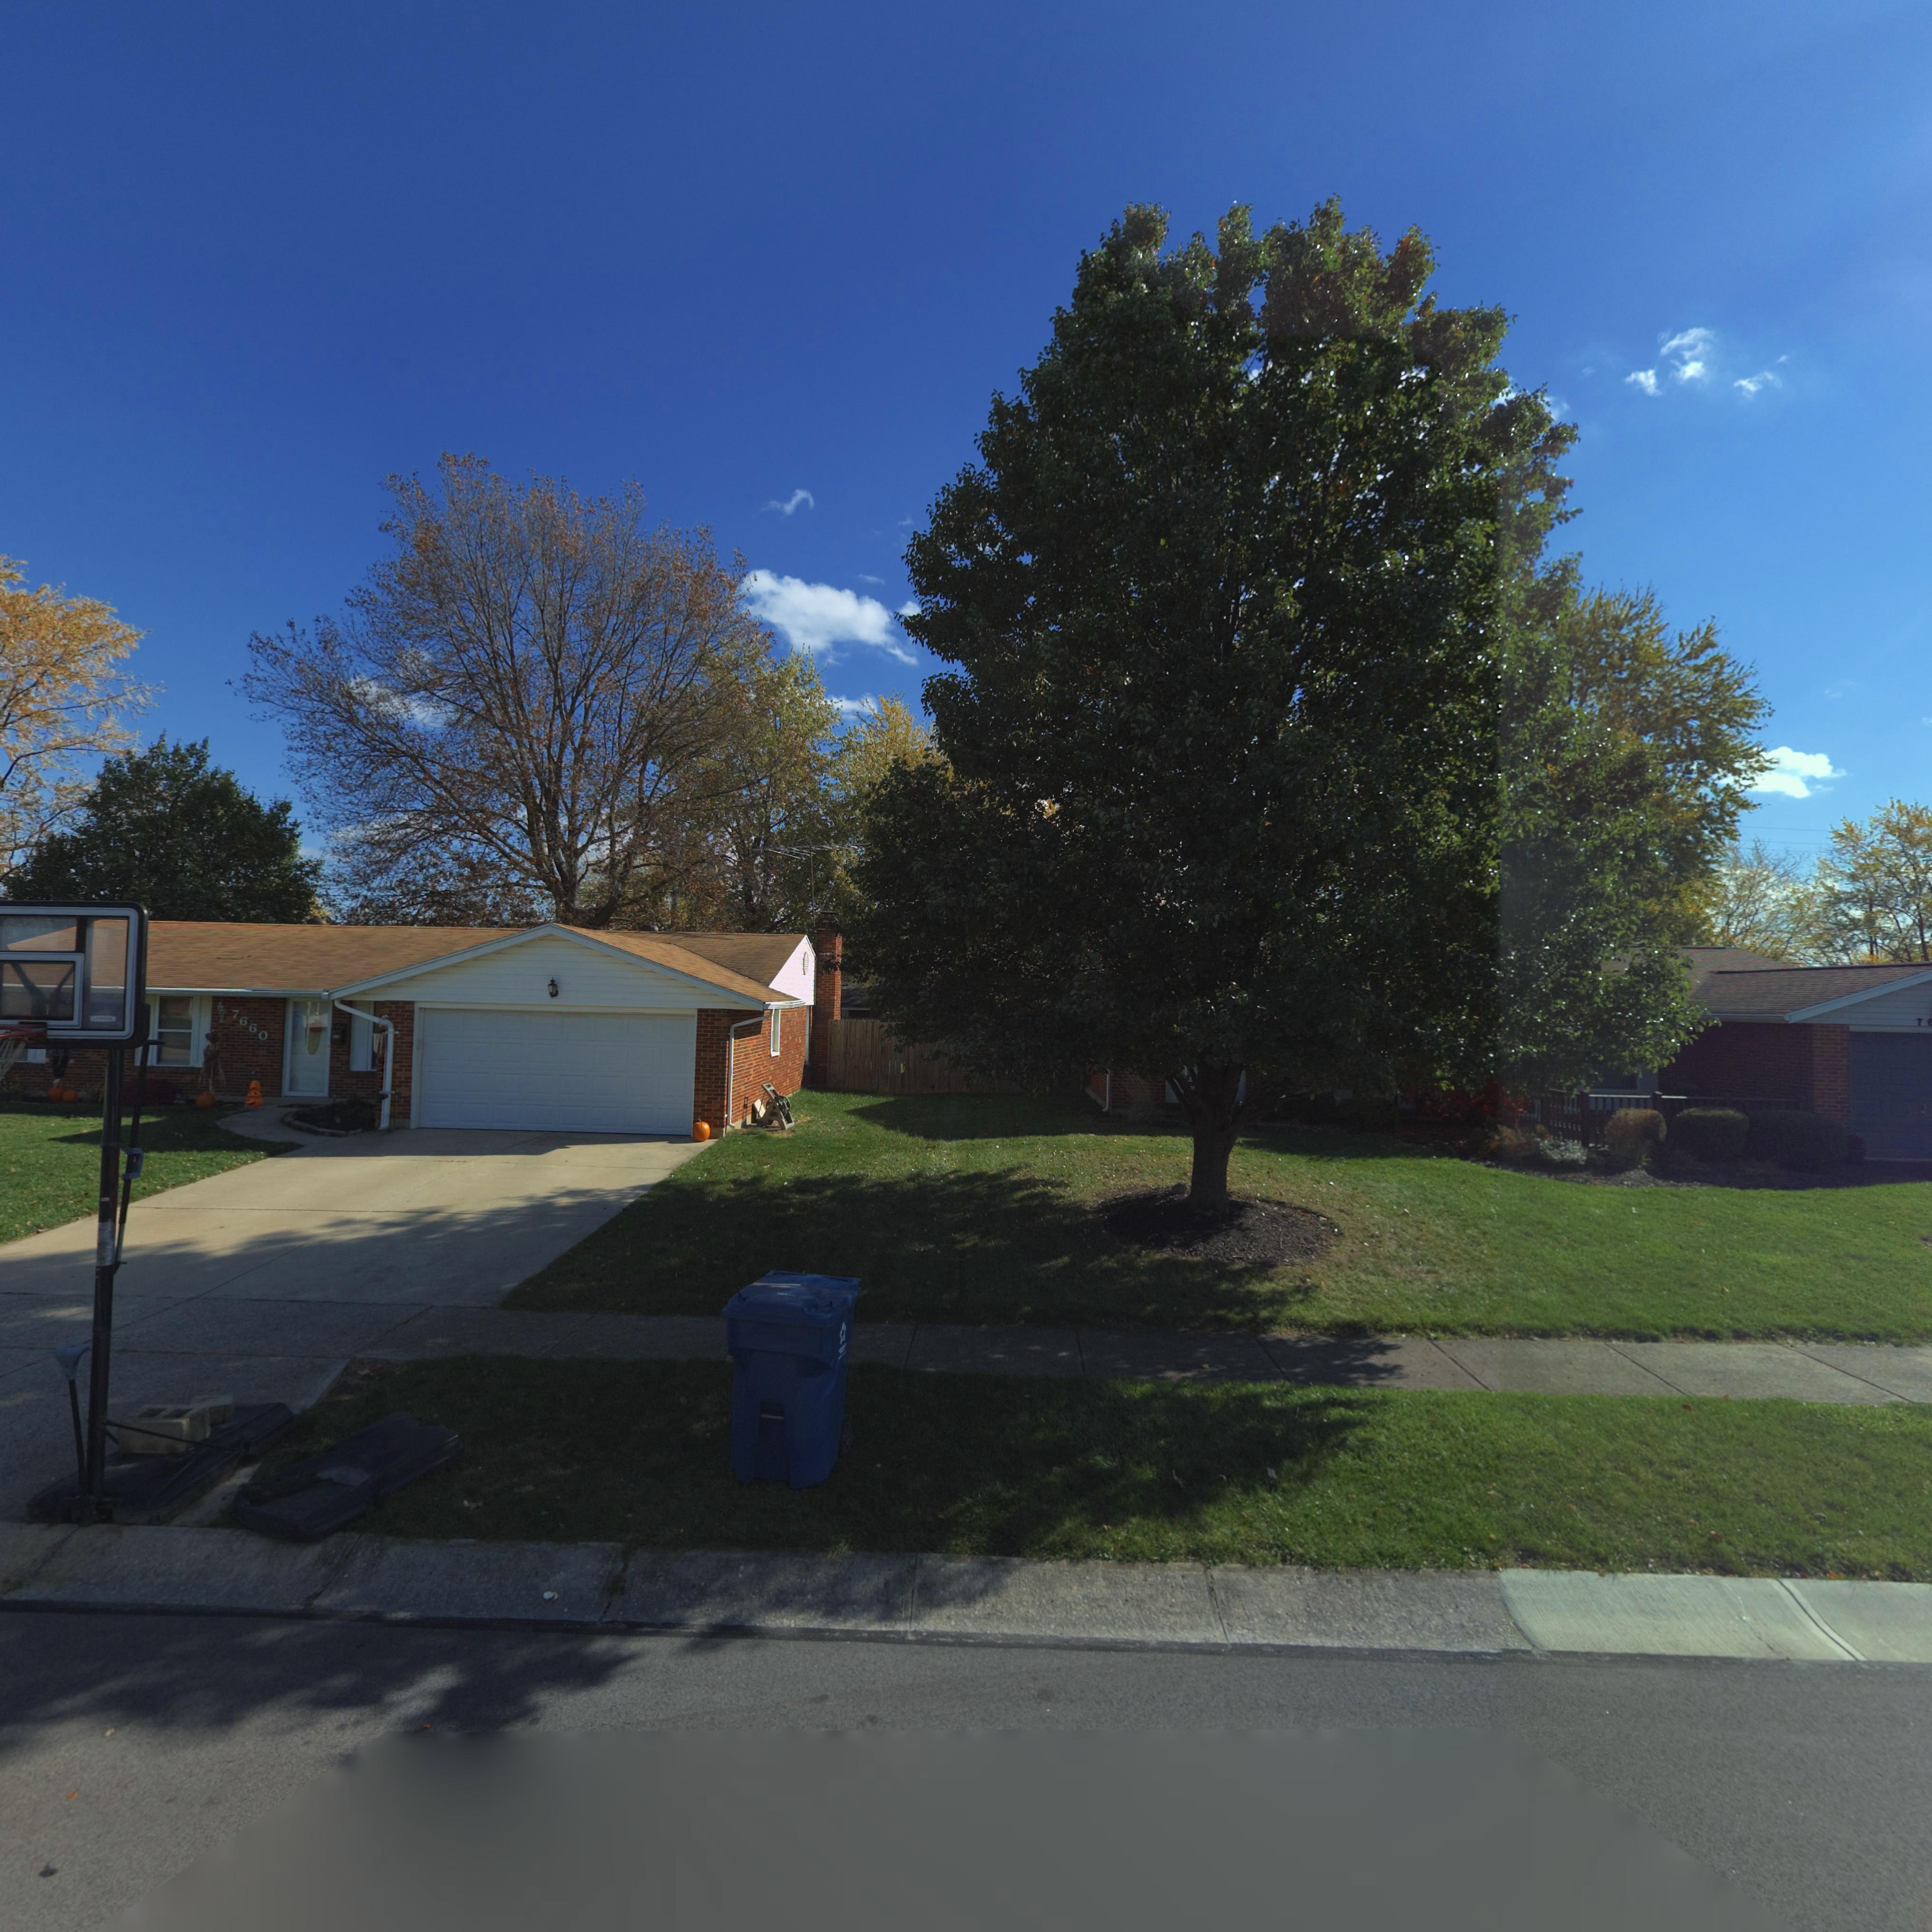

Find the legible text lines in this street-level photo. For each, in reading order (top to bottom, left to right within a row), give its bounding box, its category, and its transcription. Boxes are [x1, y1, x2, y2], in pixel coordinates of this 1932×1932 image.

[231, 1008, 270, 1043] StreetNumber: 7660
[1915, 1016, 1924, 1028] StreetNumber: 7